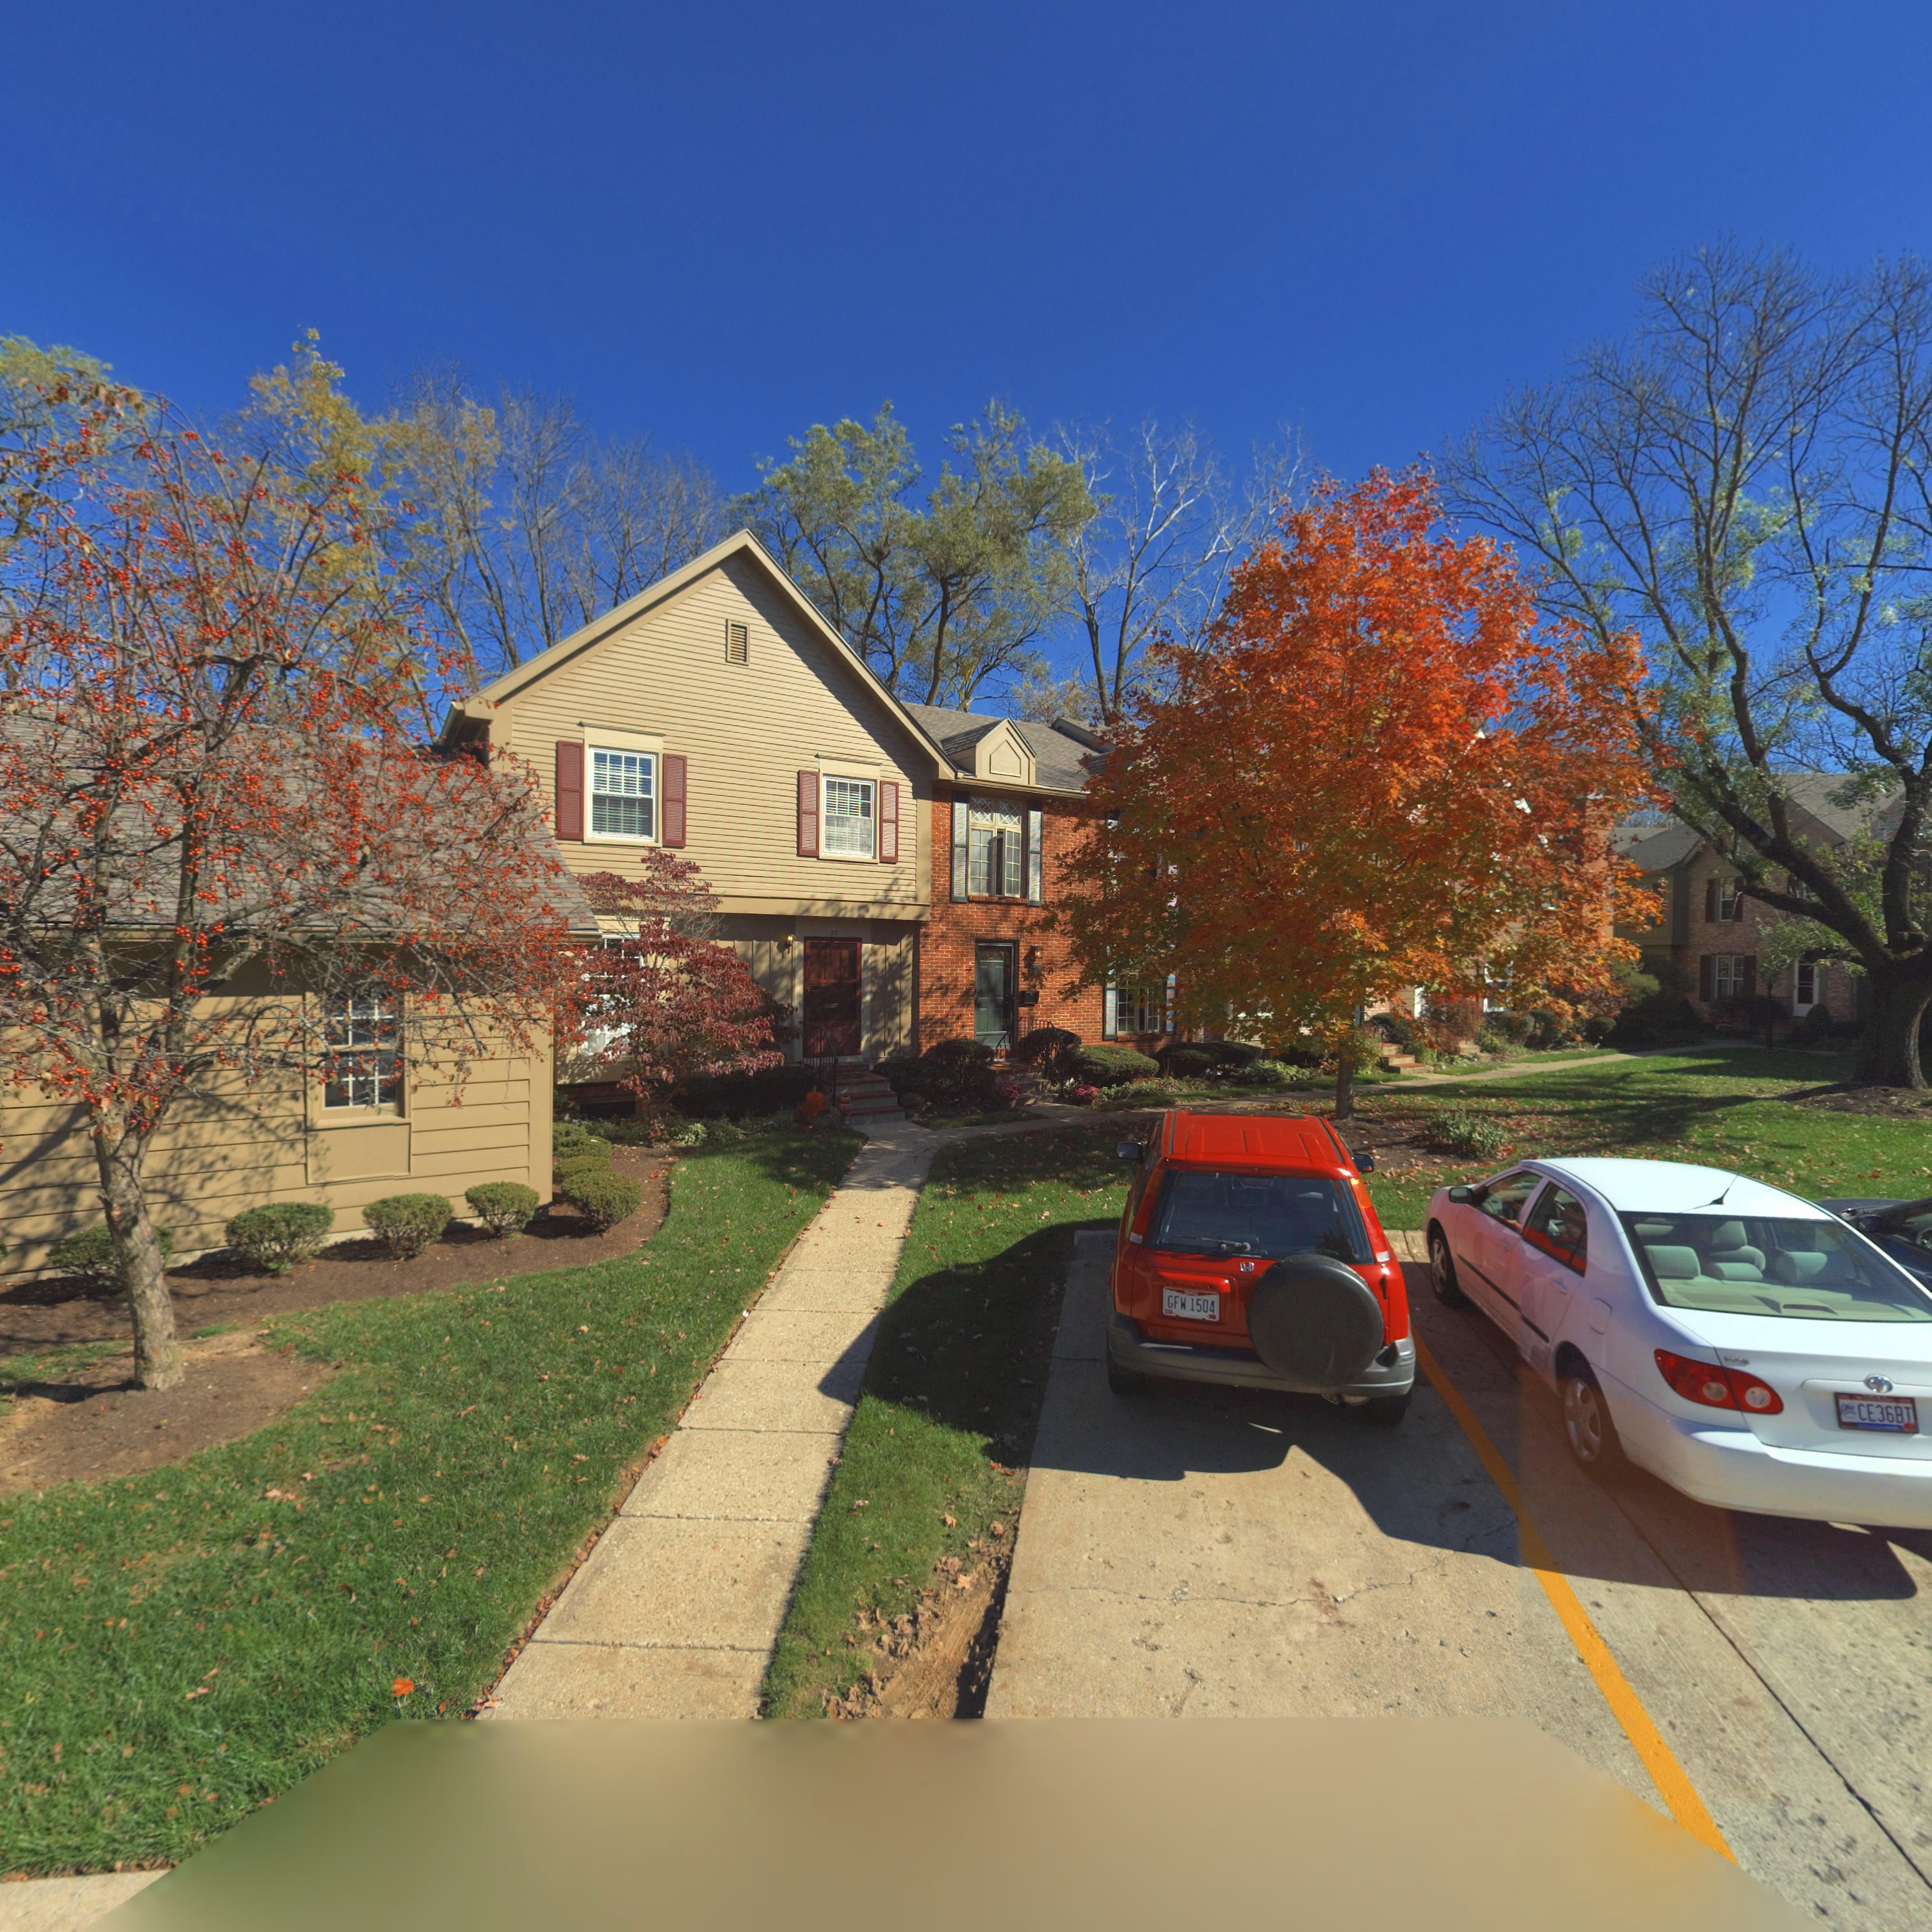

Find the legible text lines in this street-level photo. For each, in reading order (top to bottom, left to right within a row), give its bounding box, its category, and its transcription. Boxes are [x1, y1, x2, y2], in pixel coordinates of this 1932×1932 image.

[830, 930, 838, 936] StreetNumber: 23
[1183, 1290, 1198, 1297] None: OHIO
[1167, 1294, 1215, 1314] None: GFW*1504
[1857, 1403, 1913, 1425] None: CE36BT